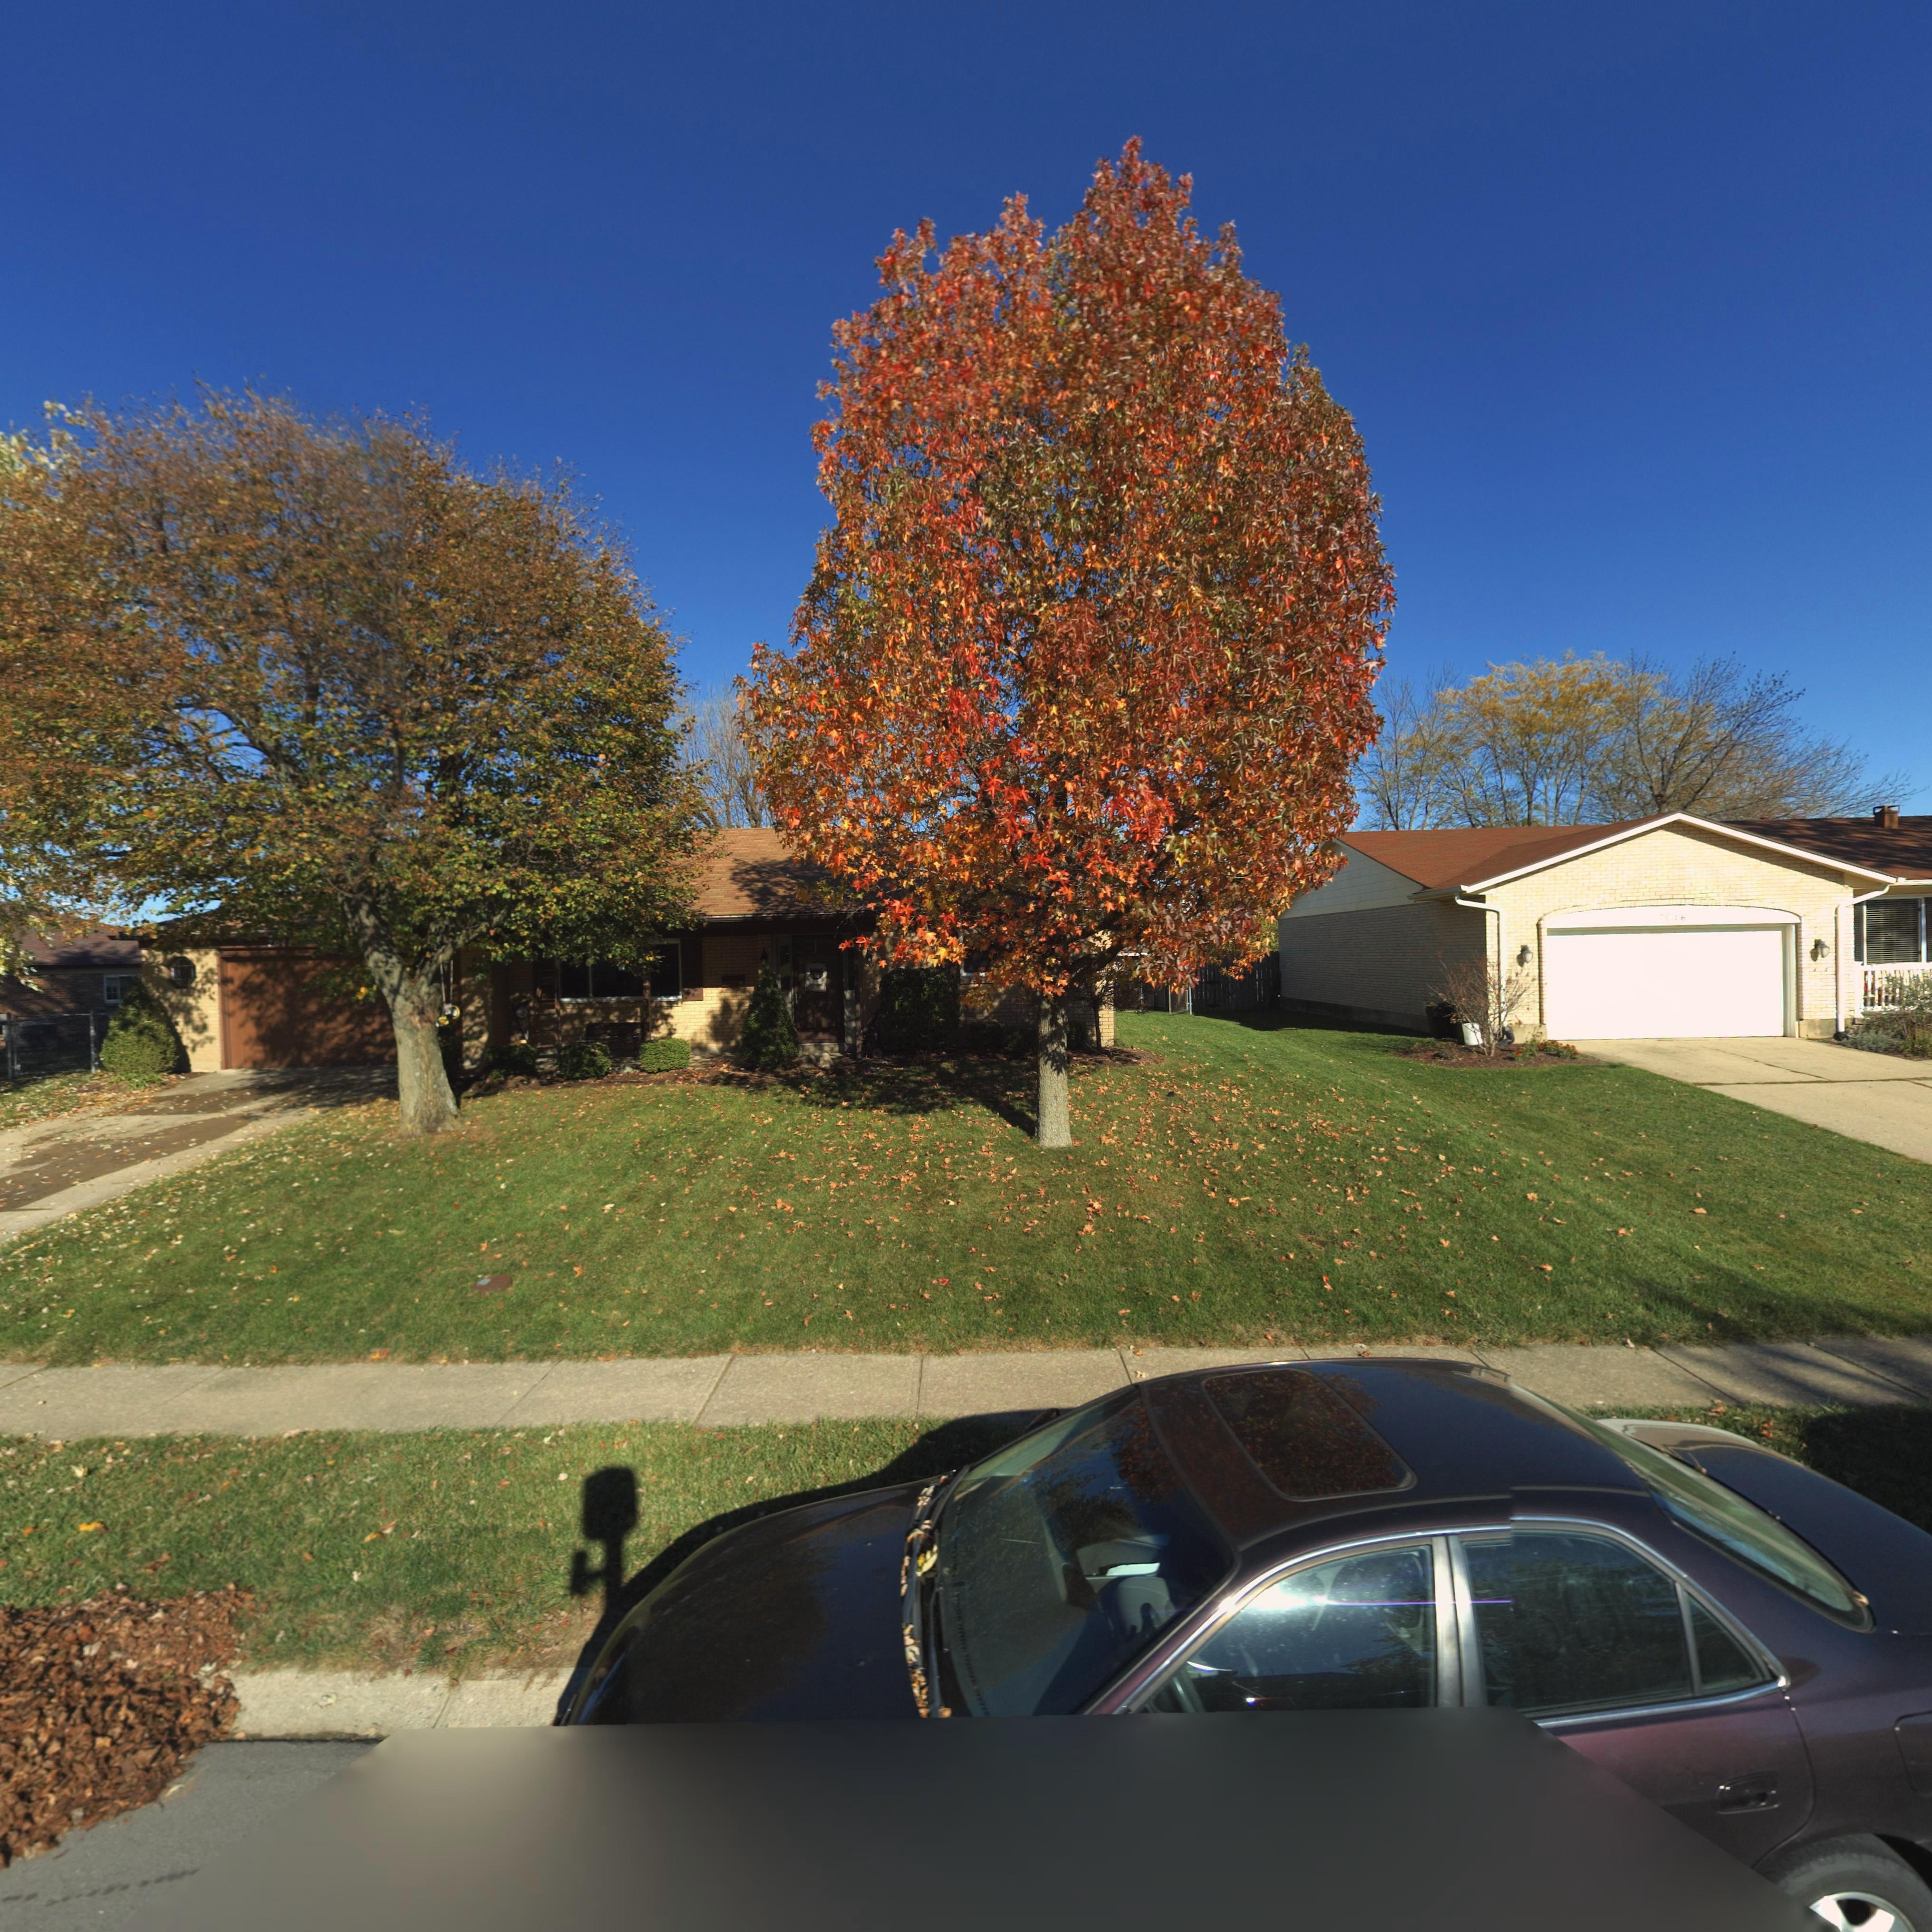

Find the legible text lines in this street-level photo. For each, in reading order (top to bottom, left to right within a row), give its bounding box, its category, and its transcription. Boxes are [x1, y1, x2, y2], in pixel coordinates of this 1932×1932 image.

[1659, 913, 1686, 921] StreetNumber: 7046
[267, 938, 295, 948] StreetNumber: 704*